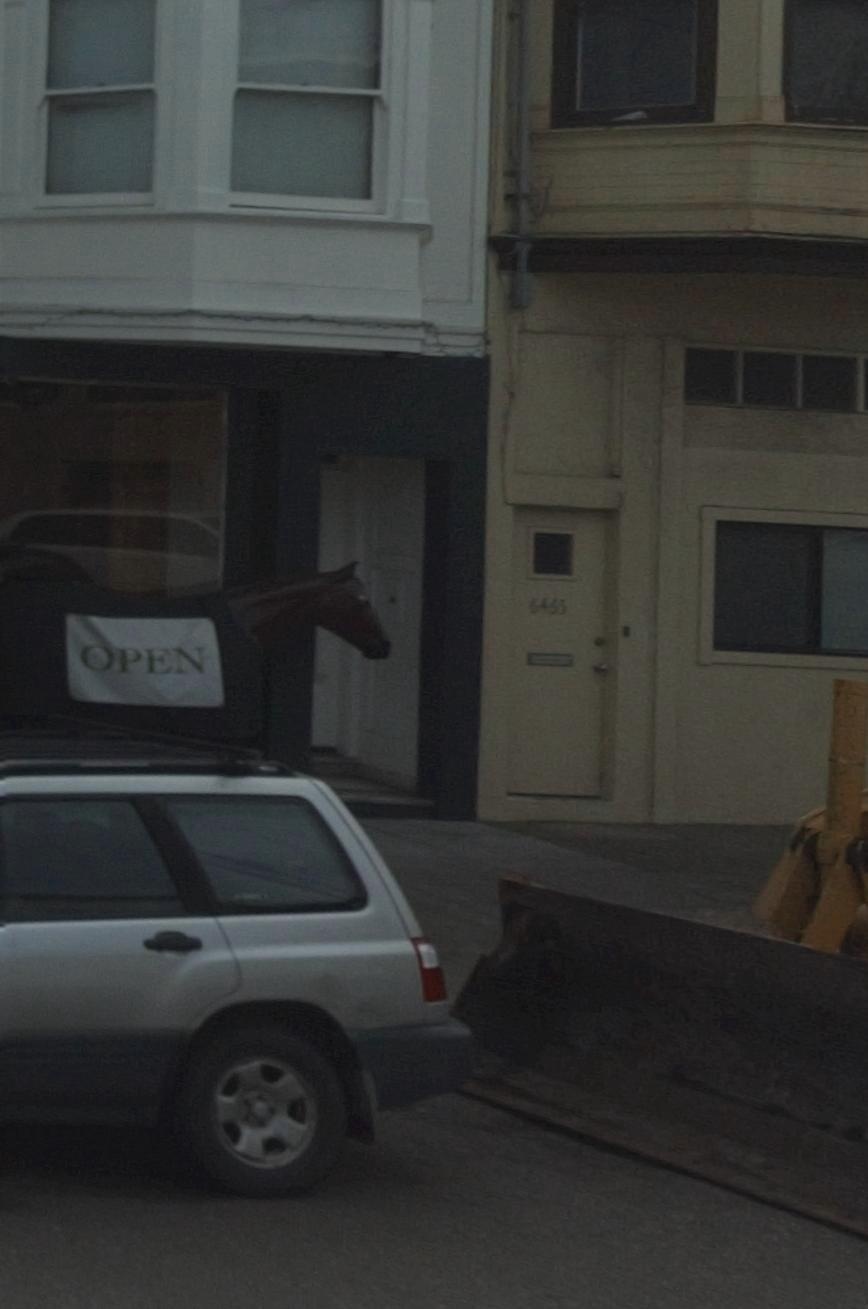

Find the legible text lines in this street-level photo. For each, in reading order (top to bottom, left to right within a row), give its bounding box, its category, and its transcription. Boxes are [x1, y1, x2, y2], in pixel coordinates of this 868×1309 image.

[526, 596, 568, 616] StreetNumber: 6465
[79, 644, 206, 675] None: OPEN